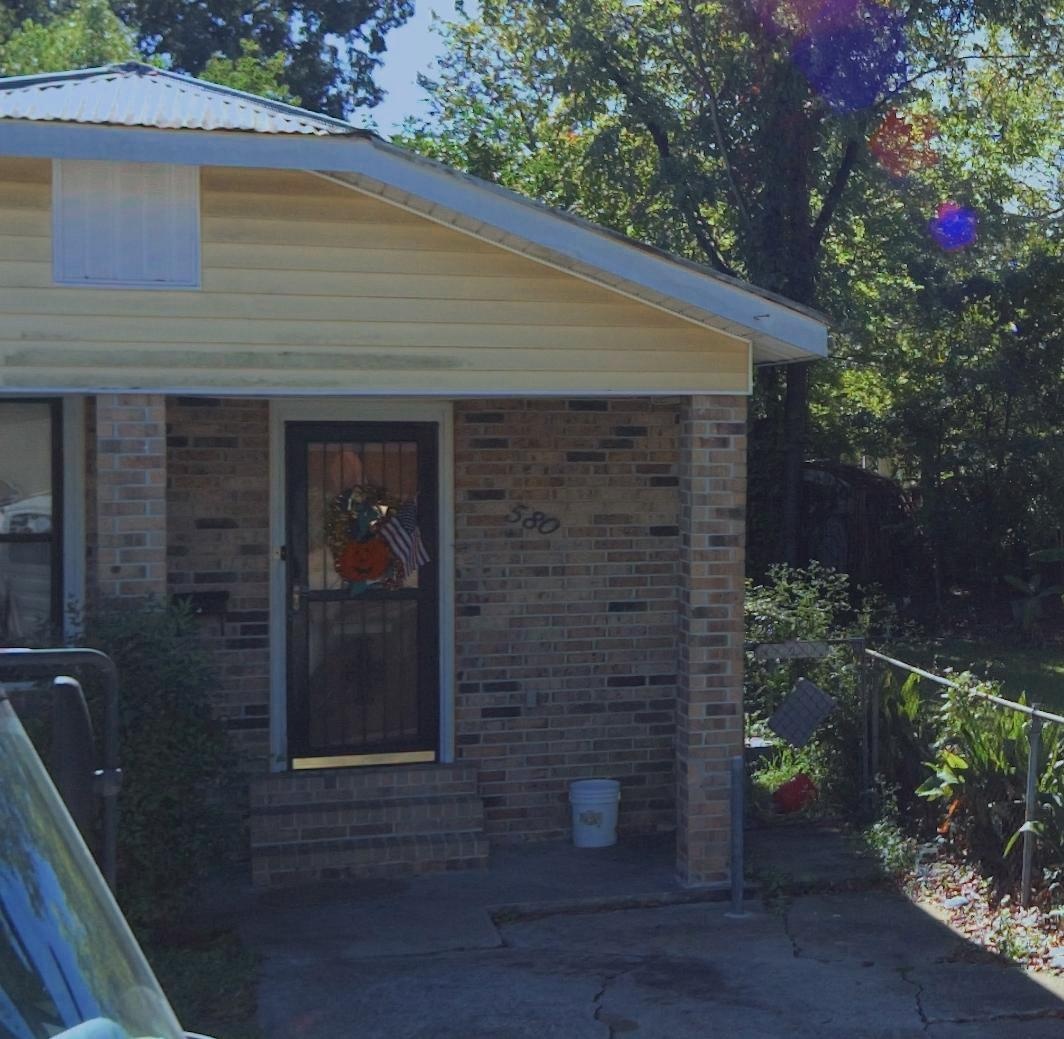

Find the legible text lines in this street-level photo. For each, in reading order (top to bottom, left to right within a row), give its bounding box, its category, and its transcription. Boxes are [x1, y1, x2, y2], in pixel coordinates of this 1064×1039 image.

[499, 498, 568, 538] StreetNumber: 580